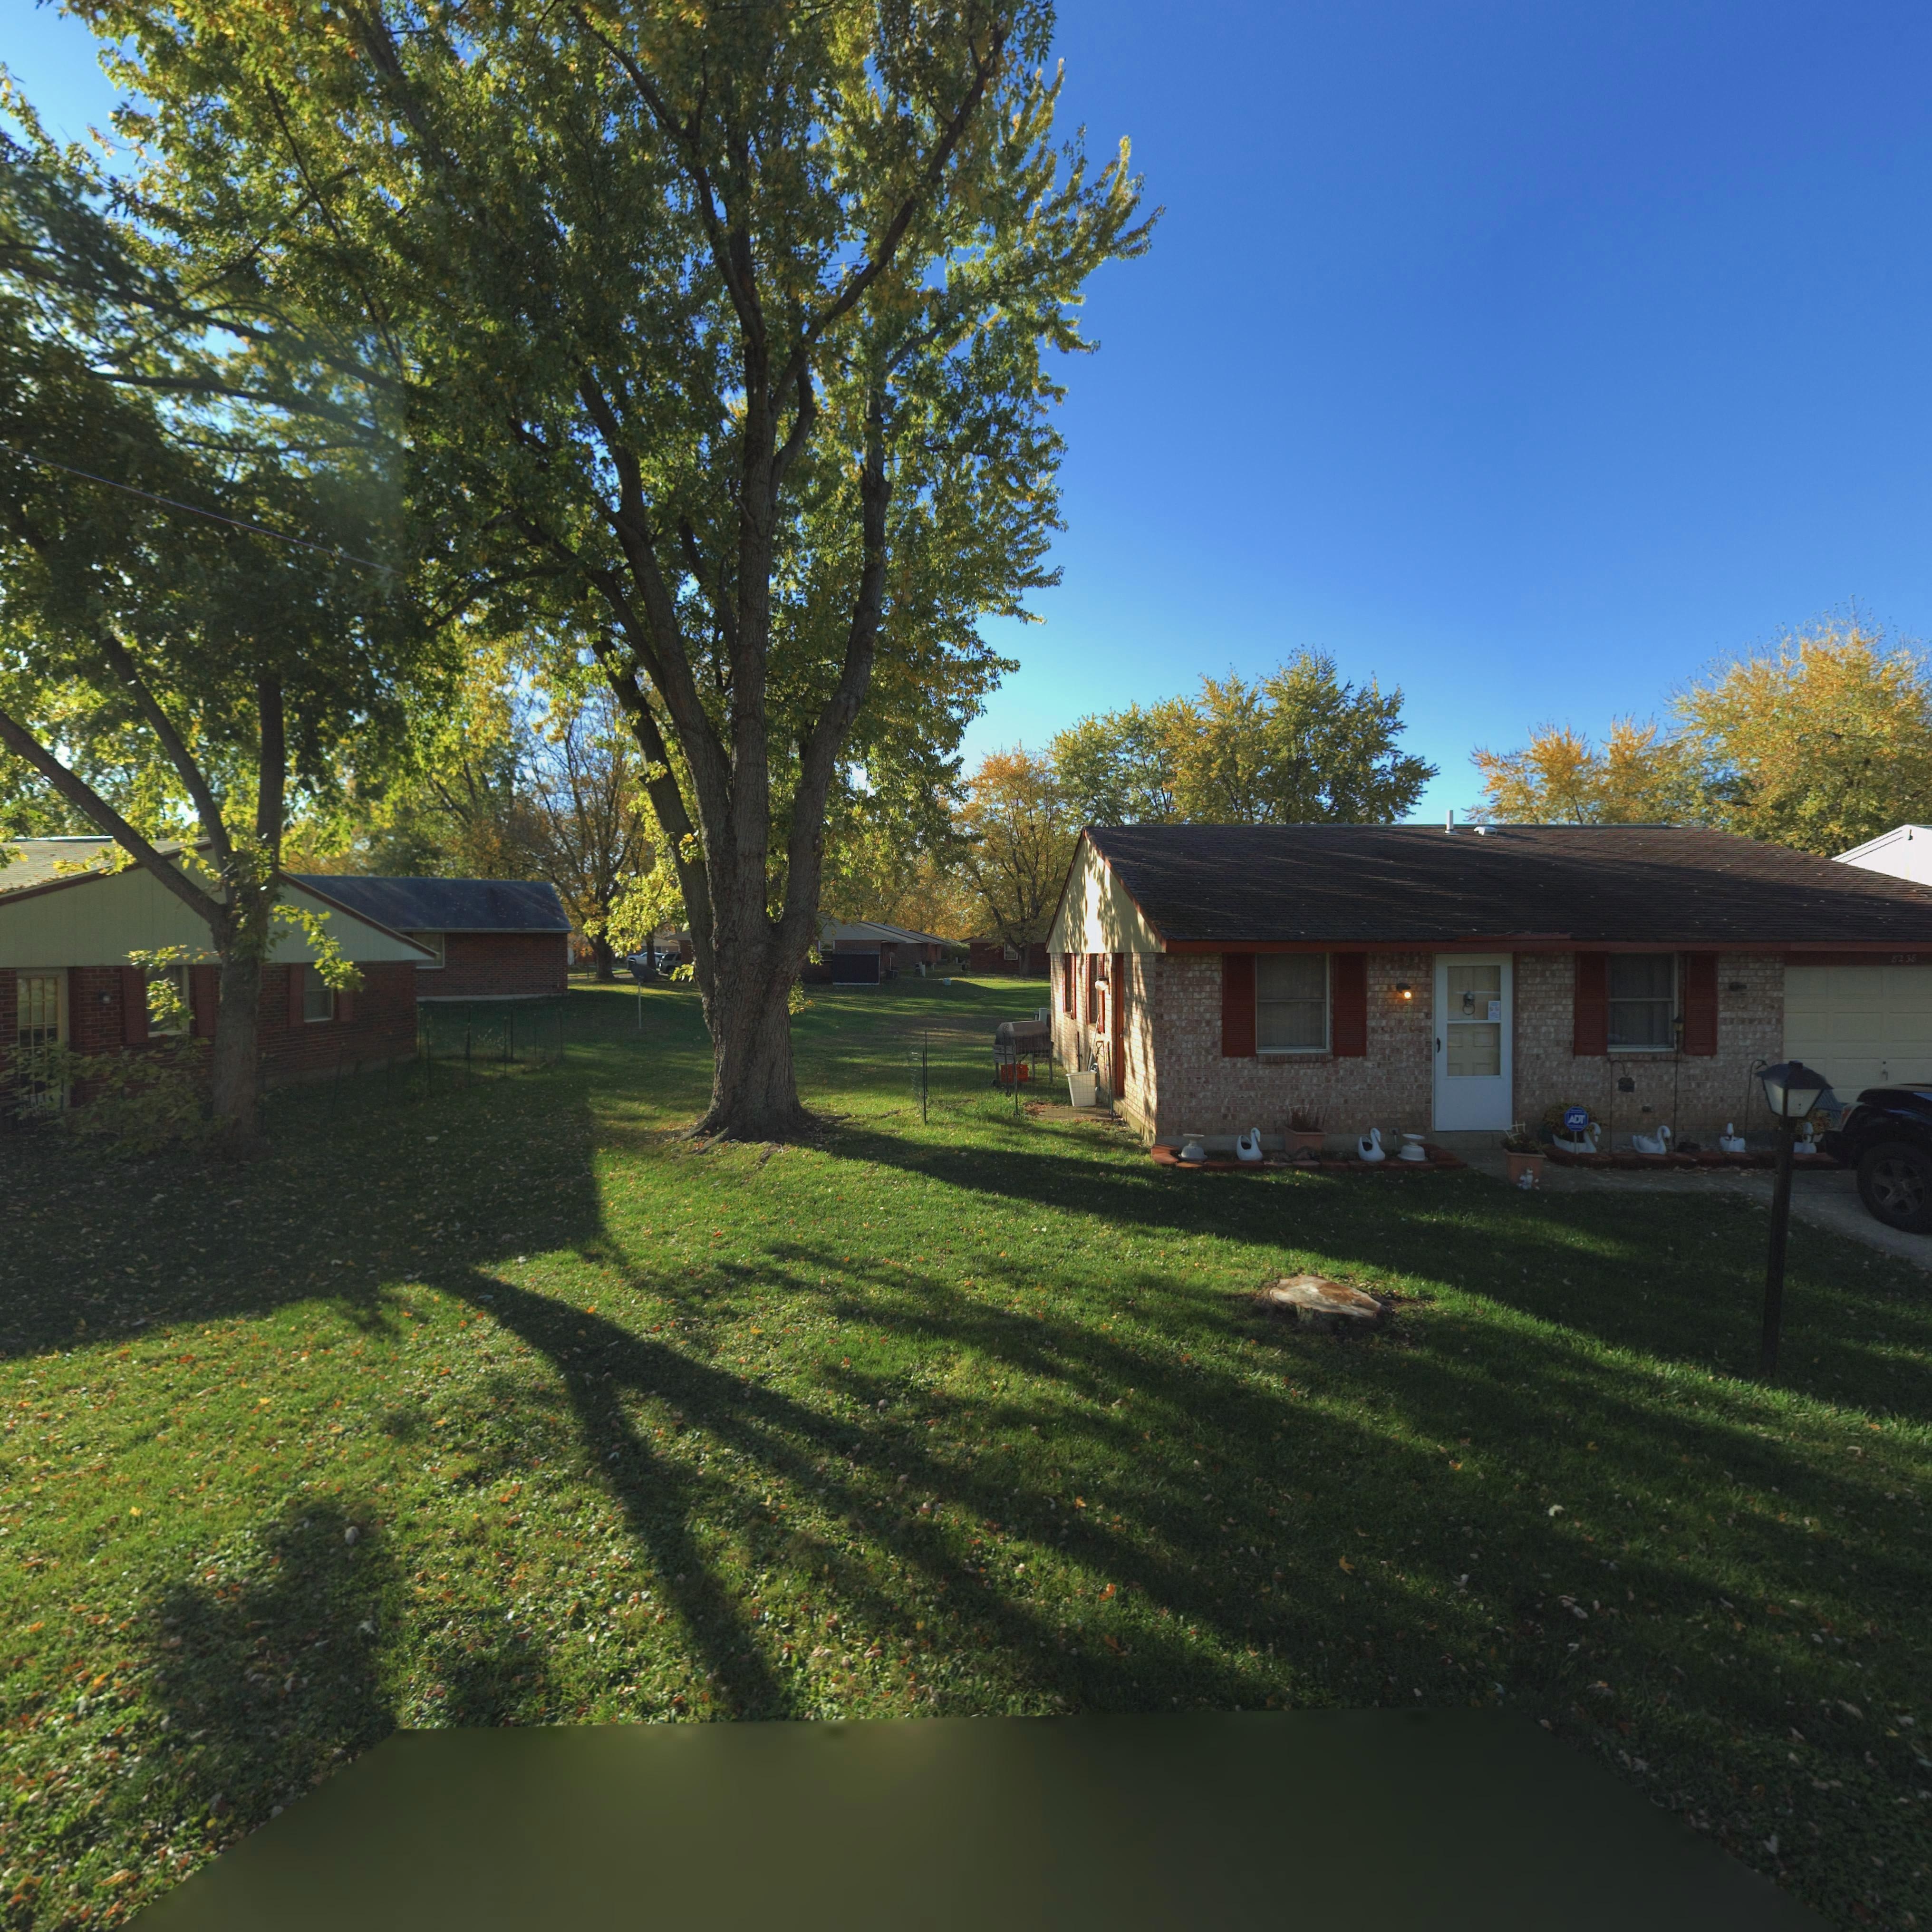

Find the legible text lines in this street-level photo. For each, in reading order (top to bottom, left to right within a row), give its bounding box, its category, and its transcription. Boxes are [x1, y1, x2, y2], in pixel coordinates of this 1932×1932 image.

[1890, 954, 1917, 964] StreetNumber: 8238